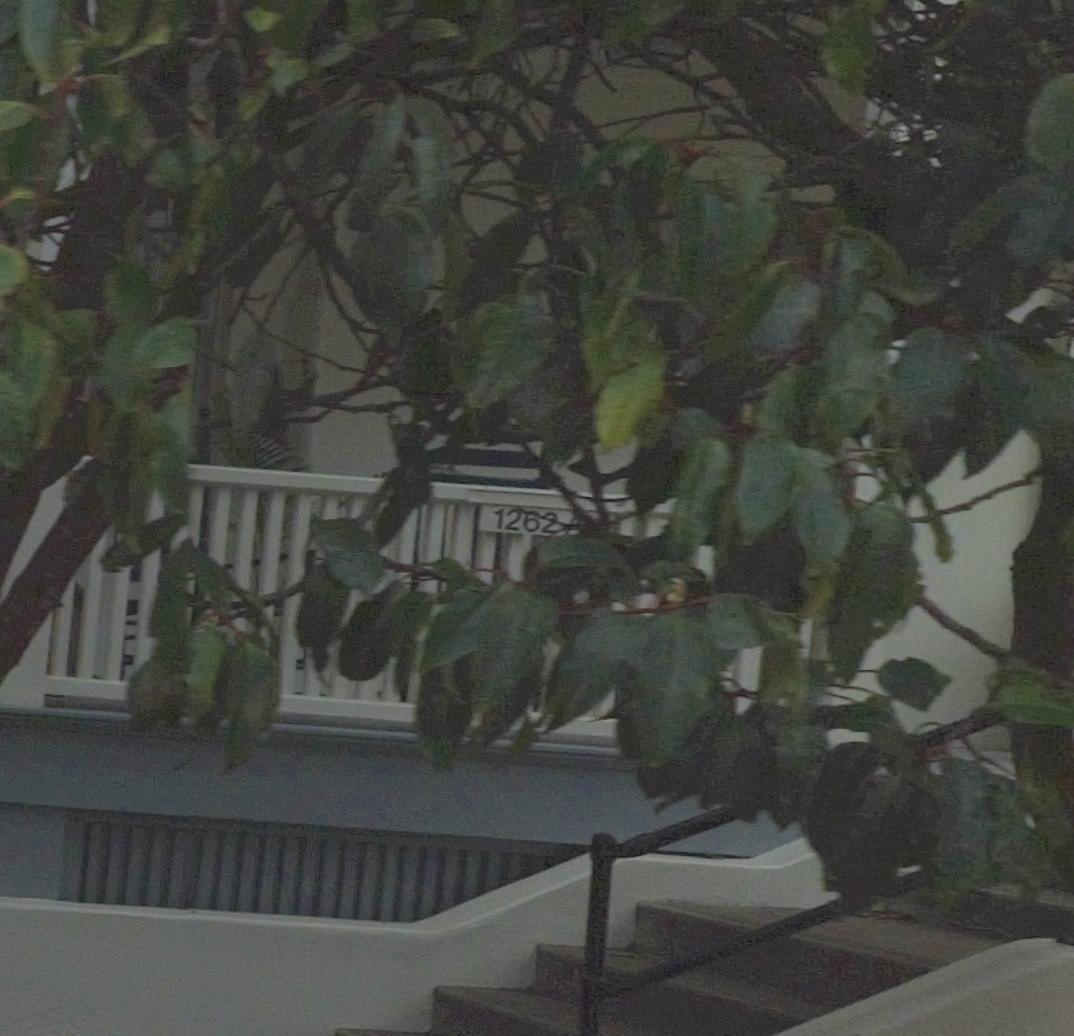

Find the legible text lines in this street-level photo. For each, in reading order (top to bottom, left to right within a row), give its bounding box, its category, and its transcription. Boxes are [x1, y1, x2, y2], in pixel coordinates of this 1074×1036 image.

[492, 505, 564, 536] StreetNumber: 1262